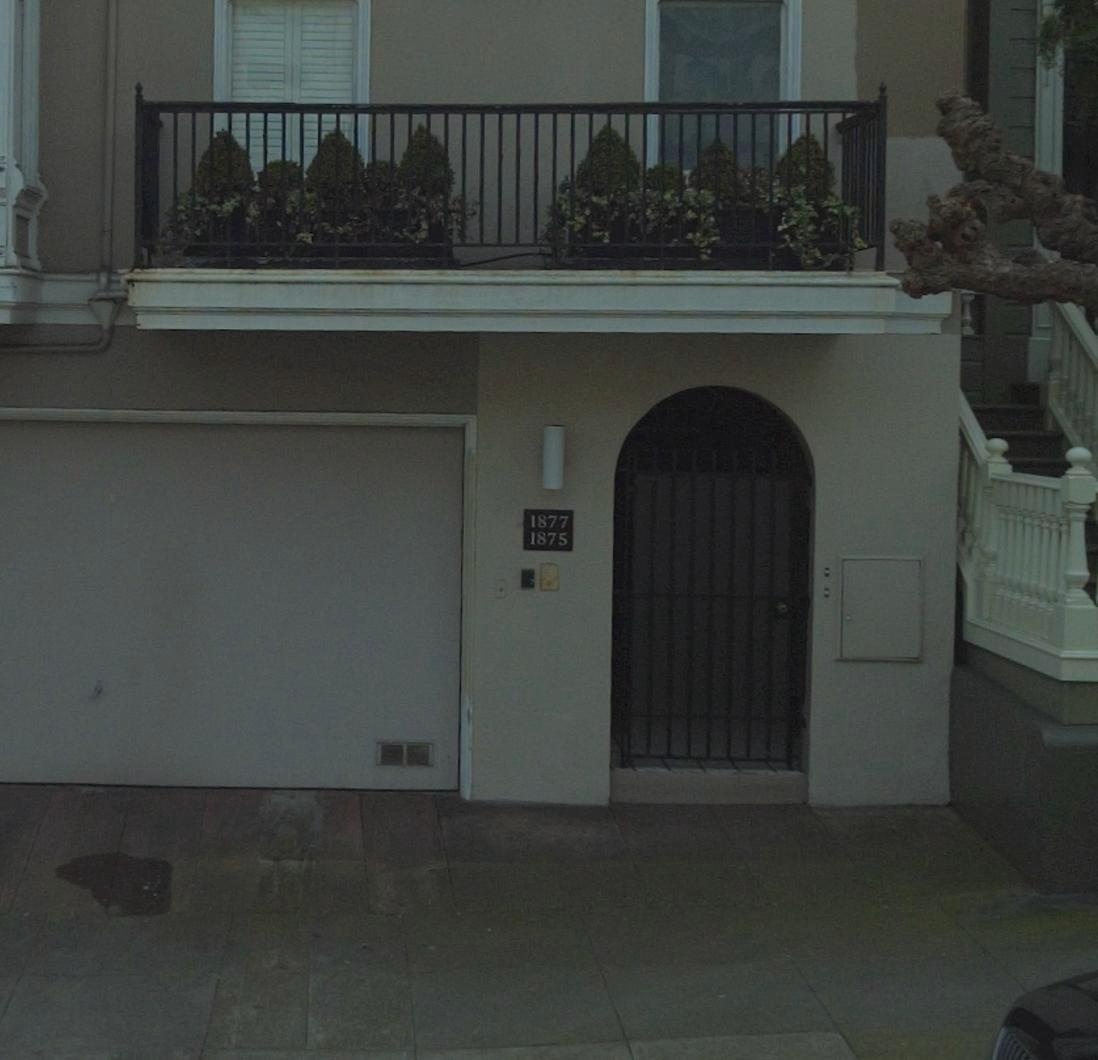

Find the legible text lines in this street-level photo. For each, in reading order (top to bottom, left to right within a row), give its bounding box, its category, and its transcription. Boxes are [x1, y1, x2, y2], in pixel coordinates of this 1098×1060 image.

[527, 511, 574, 531] StreetNumber: 1877
[527, 529, 570, 548] StreetNumber: 1875